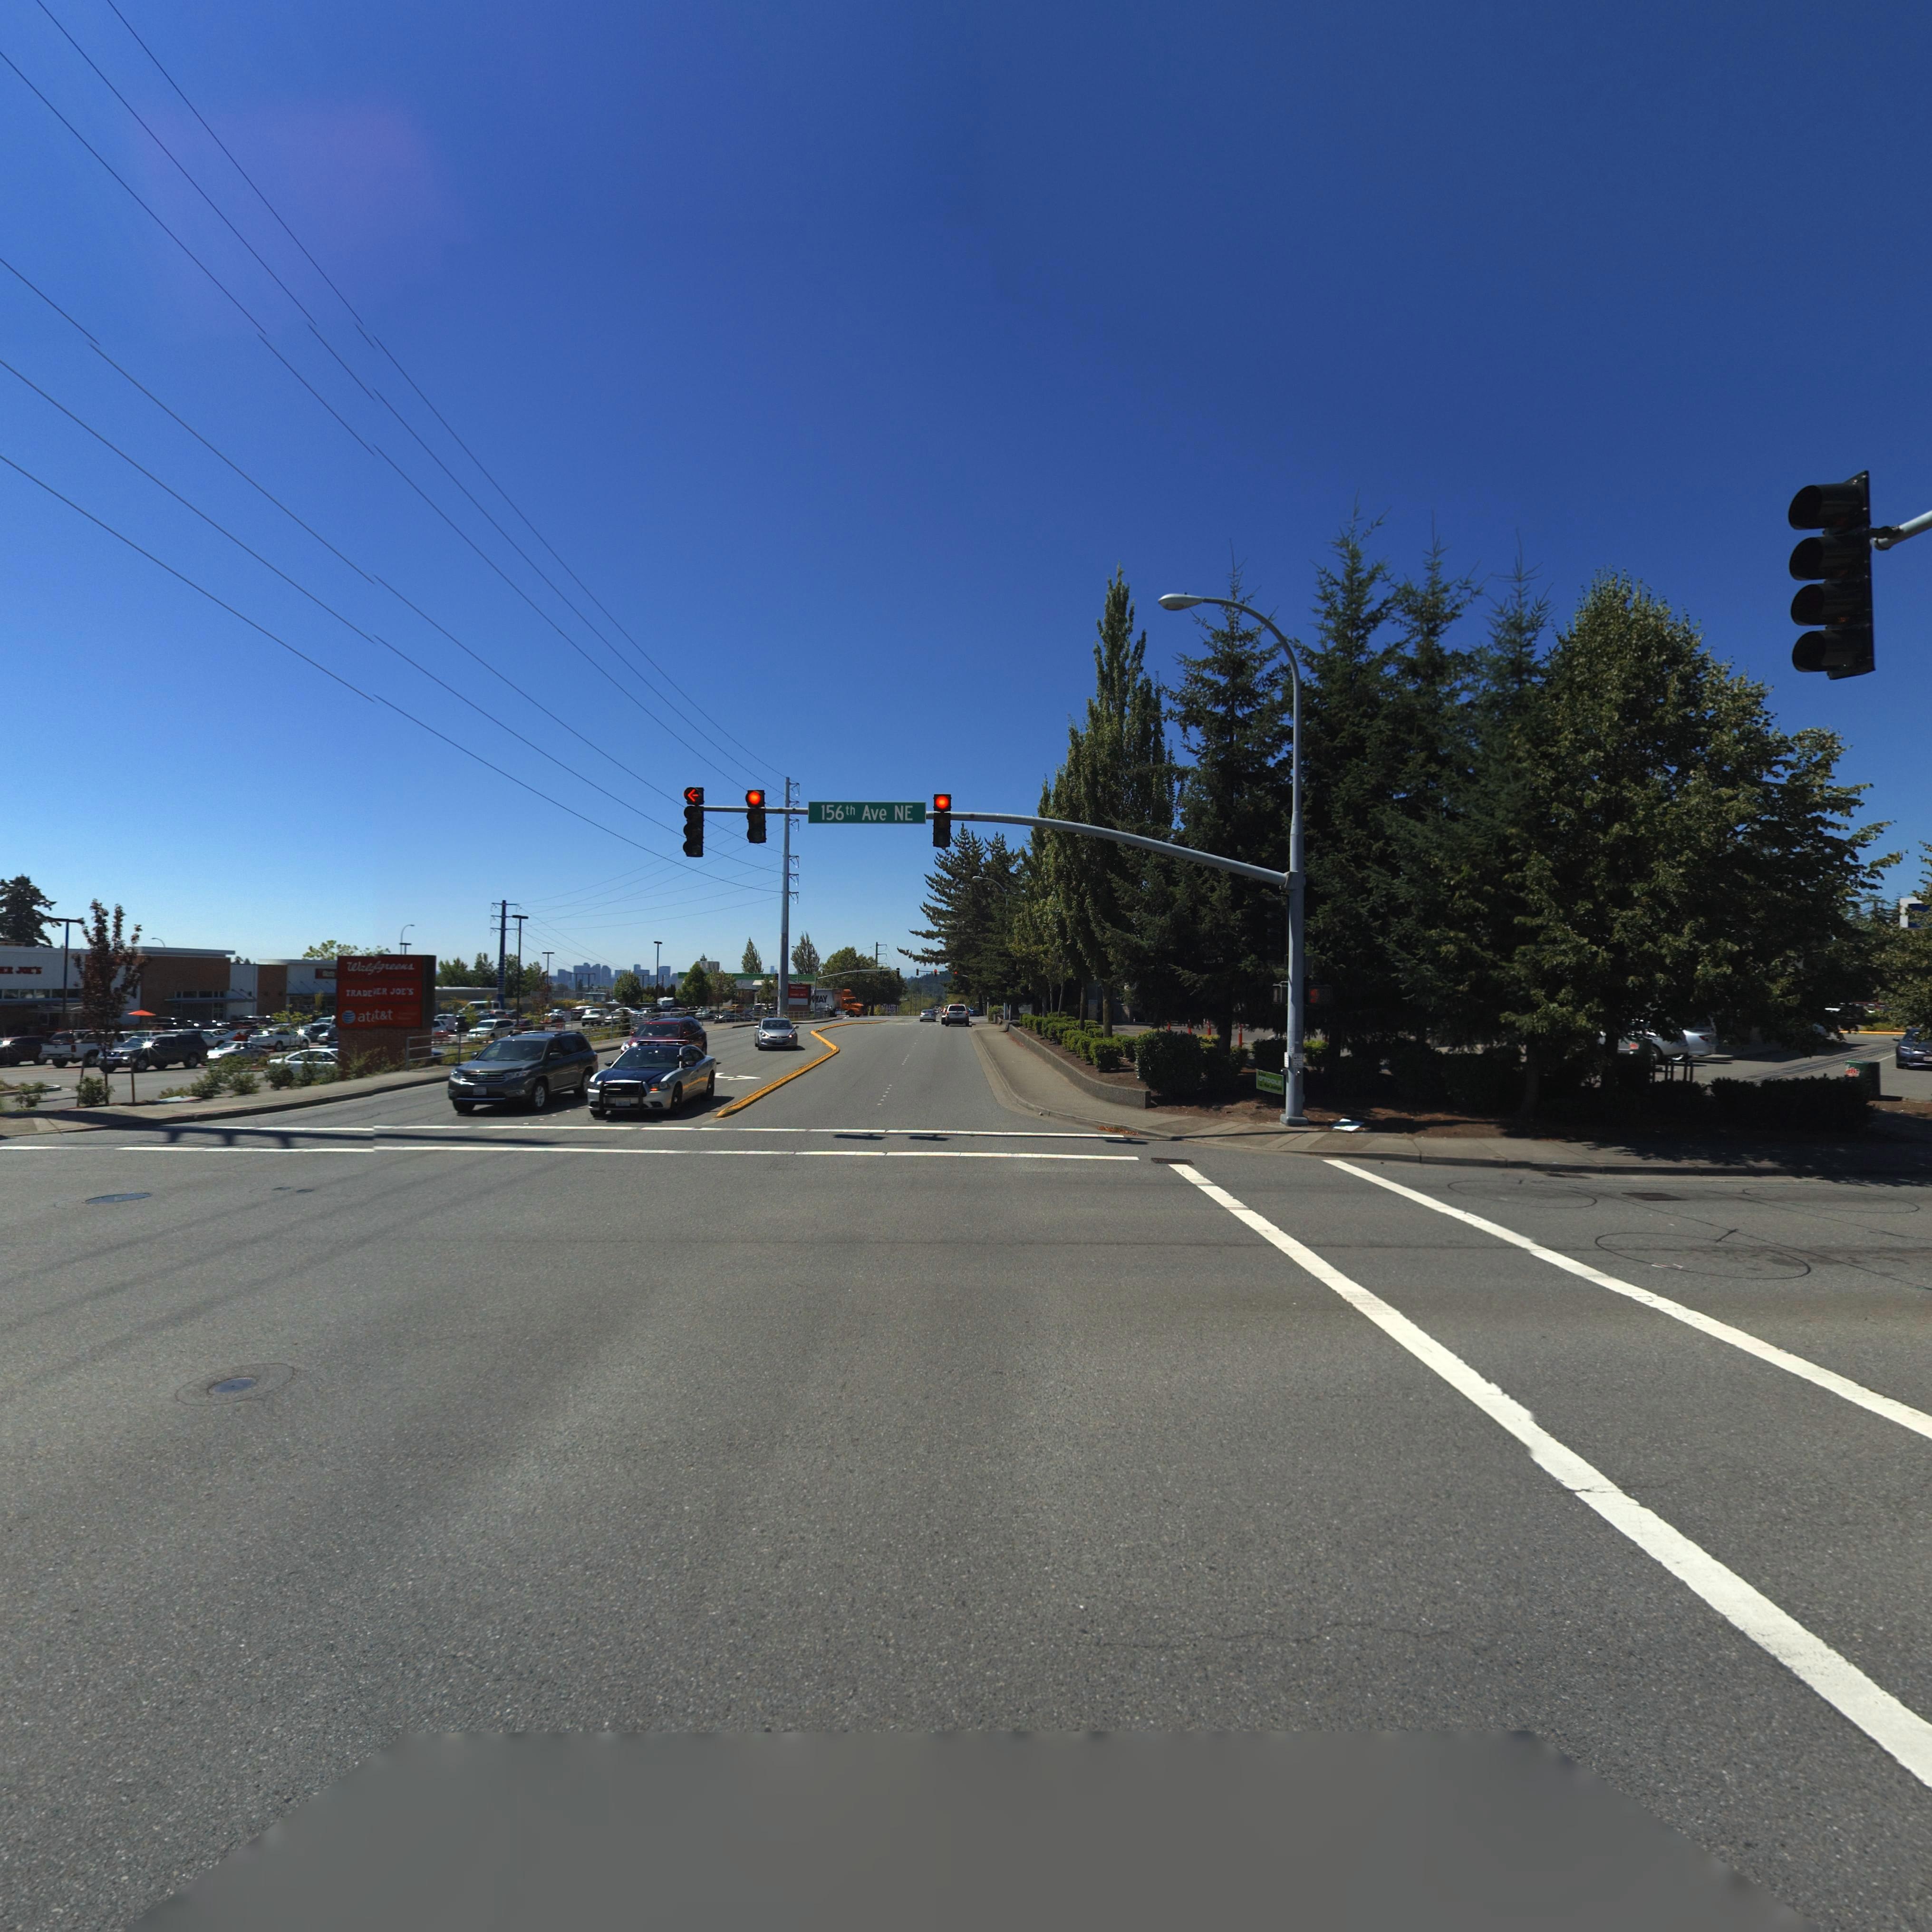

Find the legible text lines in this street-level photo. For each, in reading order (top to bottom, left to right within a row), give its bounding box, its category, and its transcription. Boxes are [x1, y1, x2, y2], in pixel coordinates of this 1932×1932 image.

[820, 804, 913, 821] StreetName: 156th Ave NE
[4, 966, 43, 975] BusinessName: R JOE*S
[347, 960, 415, 976] BusinessName: Walgreens
[345, 986, 415, 997] BusinessName: TRADE*ER JOE*S
[357, 1008, 394, 1023] BusinessName: *at*t*t